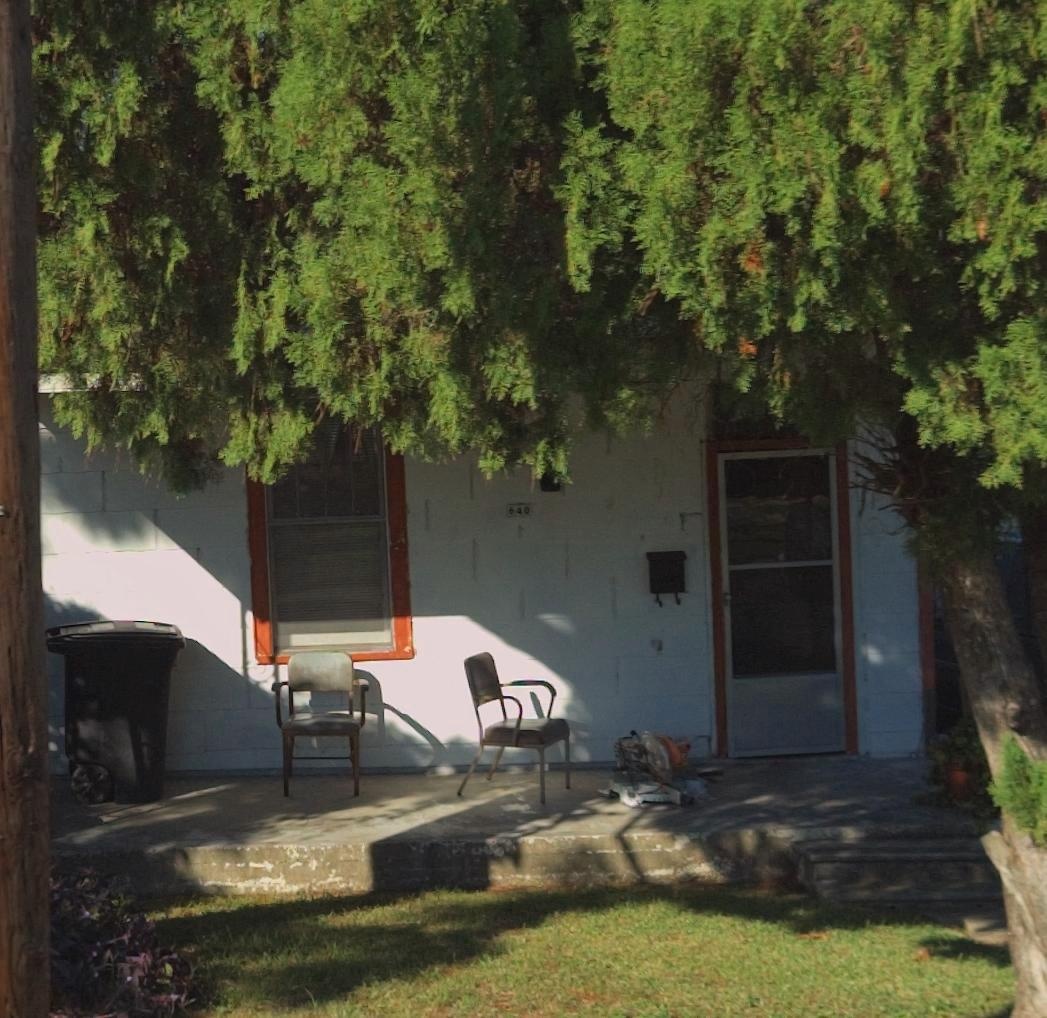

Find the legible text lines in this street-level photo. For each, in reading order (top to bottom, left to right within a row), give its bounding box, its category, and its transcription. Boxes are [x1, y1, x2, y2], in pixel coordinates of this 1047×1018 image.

[507, 505, 531, 517] StreetNumber: 640